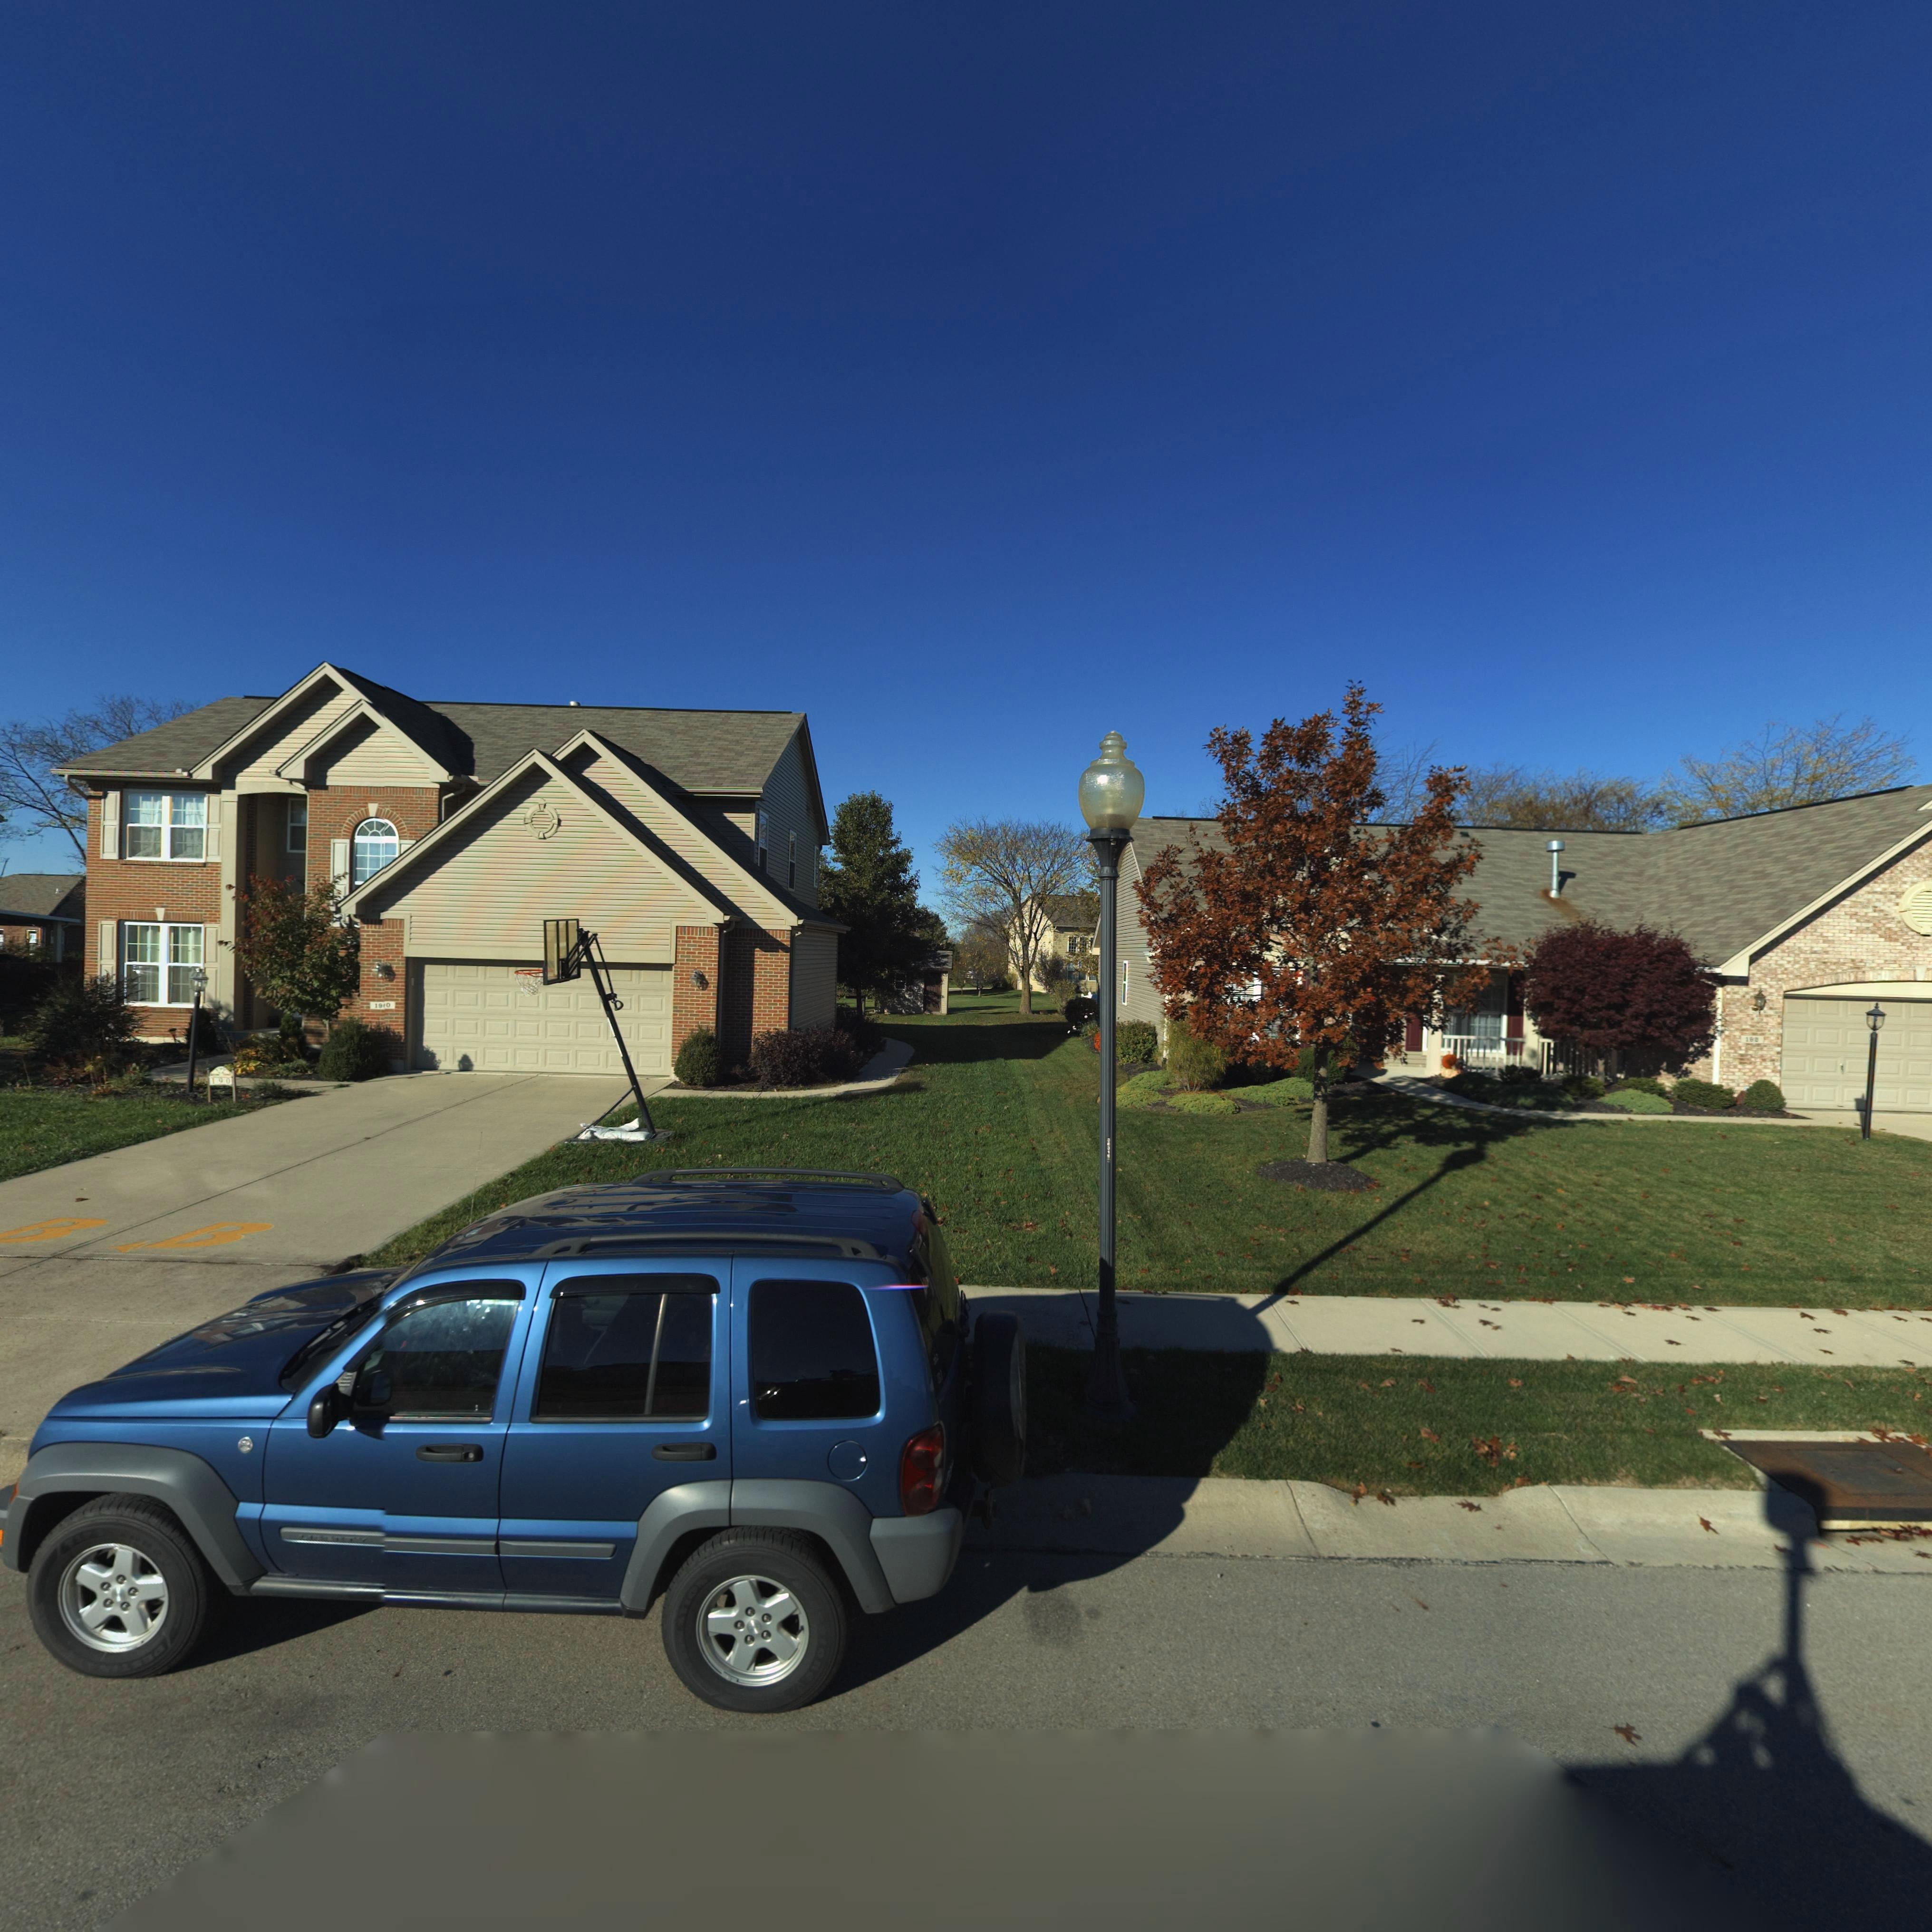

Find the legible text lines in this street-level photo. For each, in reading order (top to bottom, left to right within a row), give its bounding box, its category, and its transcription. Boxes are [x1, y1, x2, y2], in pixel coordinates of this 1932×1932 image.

[374, 1002, 391, 1009] StreetNumber: 19*0
[1745, 1036, 1759, 1043] StreetNumber: 1**
[211, 1077, 231, 1085] StreetNumber: 190